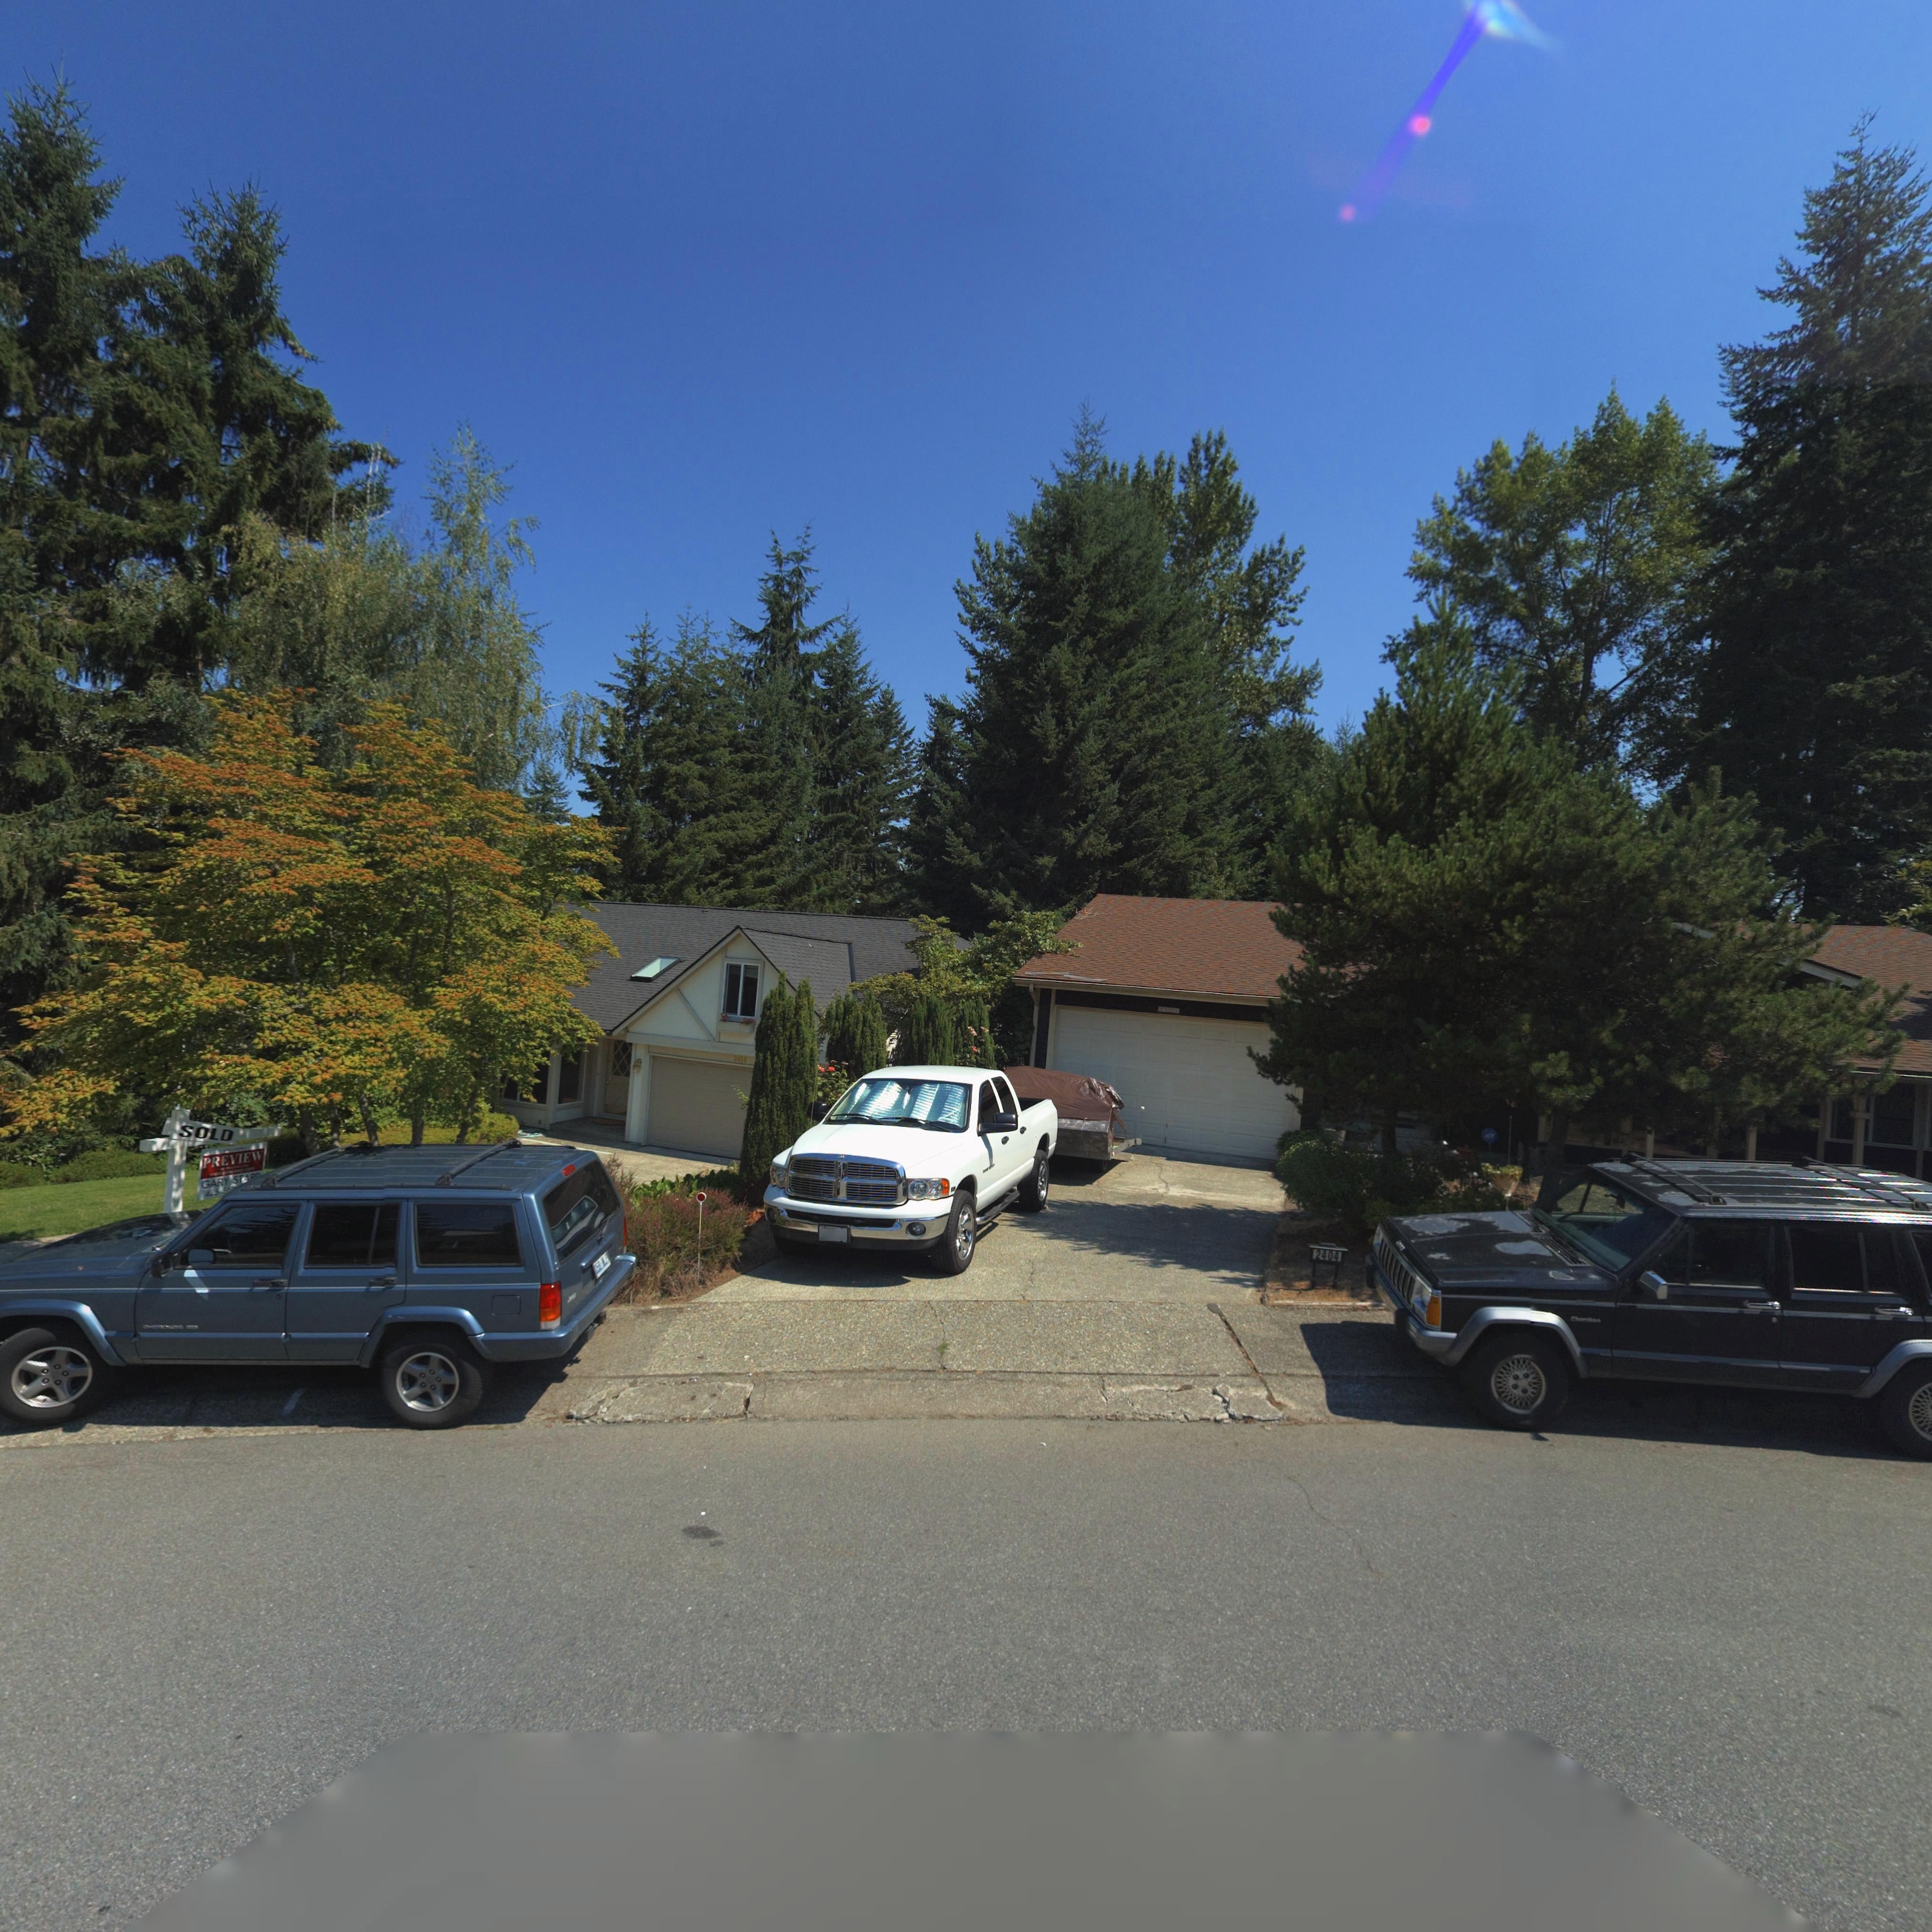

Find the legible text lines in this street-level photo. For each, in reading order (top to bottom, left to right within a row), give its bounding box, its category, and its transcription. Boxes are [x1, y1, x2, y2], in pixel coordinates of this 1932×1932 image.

[733, 1054, 748, 1063] StreetNumber: 2410
[1314, 1248, 1339, 1262] StreetNumber: 2404